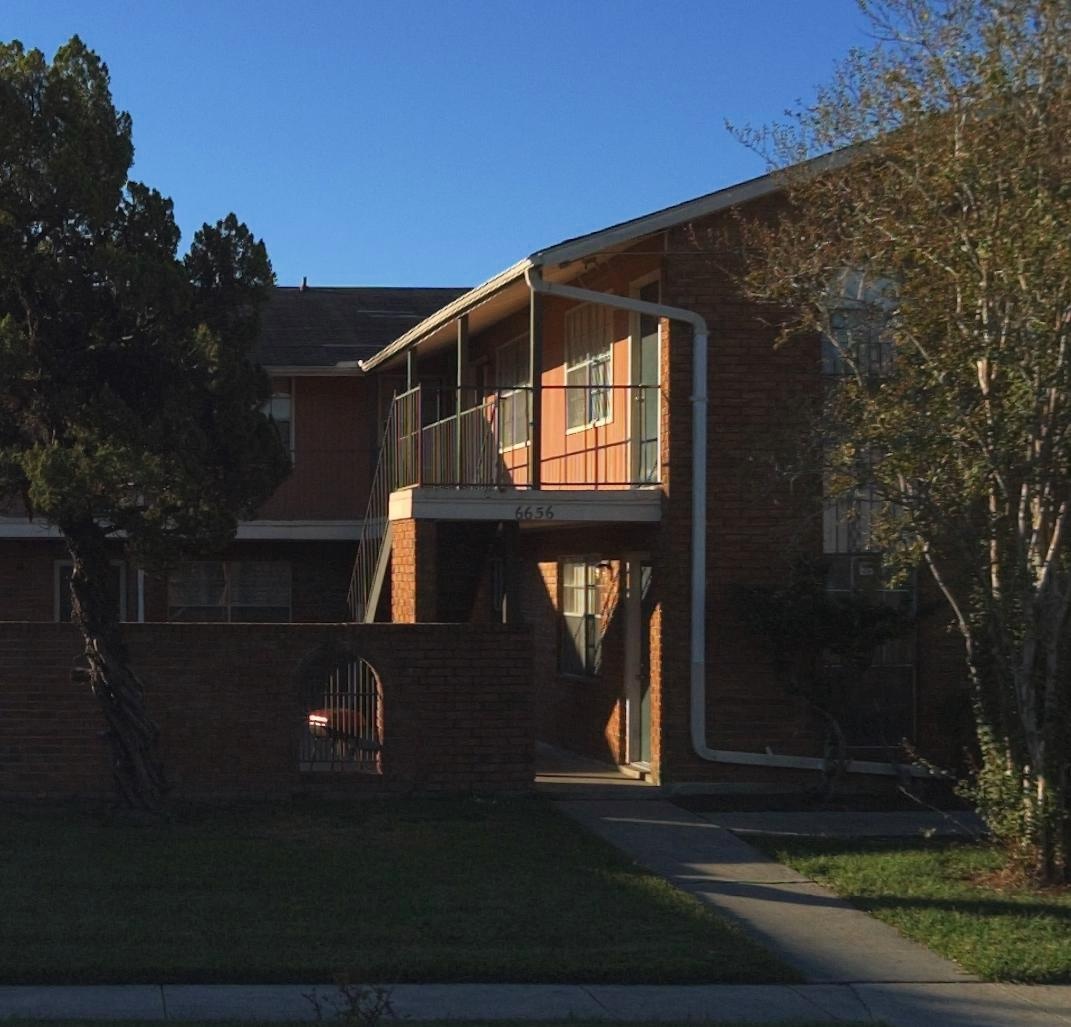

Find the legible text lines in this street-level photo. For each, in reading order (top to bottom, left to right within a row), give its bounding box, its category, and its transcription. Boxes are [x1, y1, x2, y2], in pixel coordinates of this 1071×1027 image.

[513, 504, 556, 522] StreetNumber: 6656